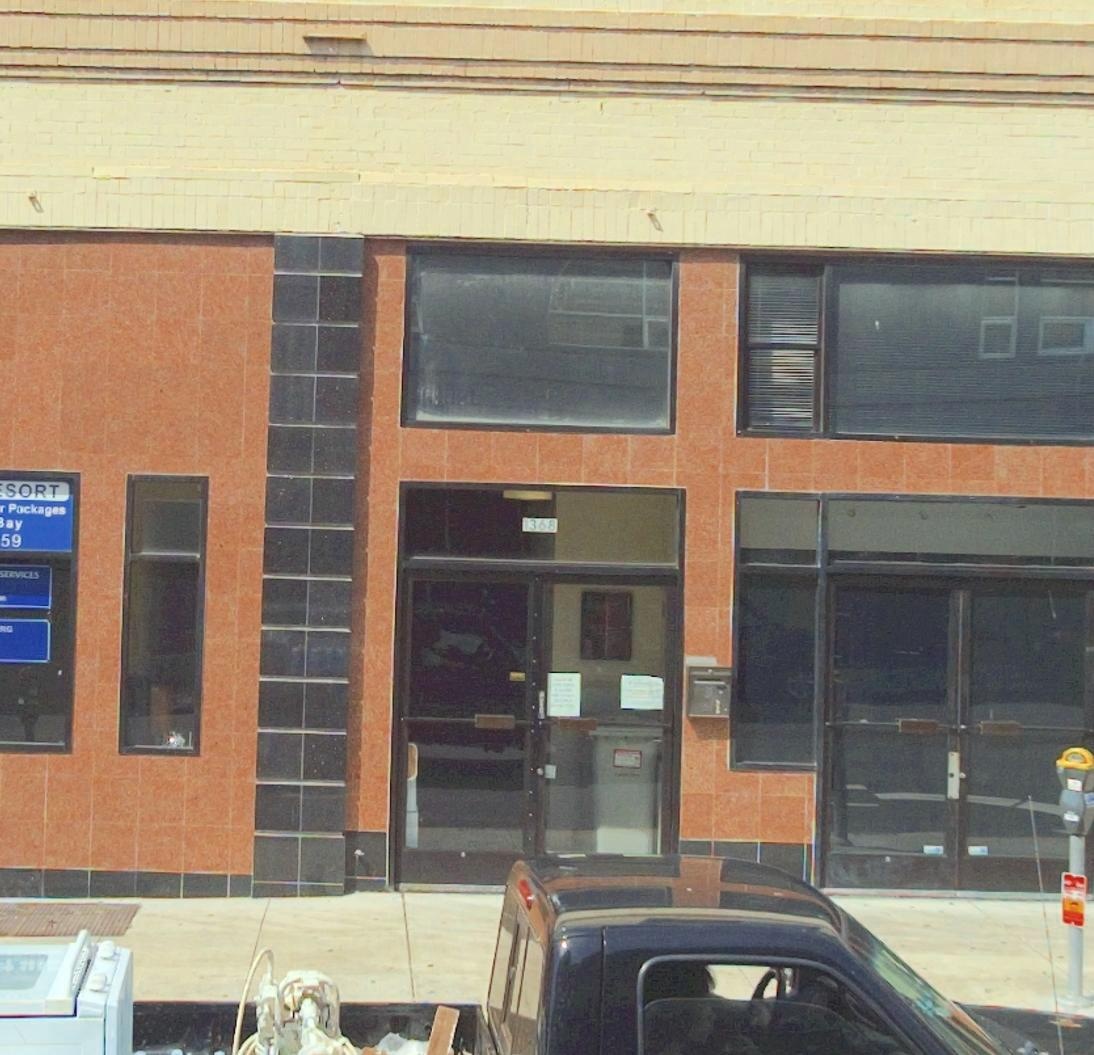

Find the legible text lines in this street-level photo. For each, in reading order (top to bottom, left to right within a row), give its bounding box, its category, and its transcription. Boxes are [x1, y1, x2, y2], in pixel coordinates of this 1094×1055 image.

[4, 482, 61, 499] None: SORT
[7, 502, 68, 518] None: Packages
[6, 519, 25, 533] None: ay
[522, 517, 556, 532] StreetNumber: 1368
[0, 532, 23, 548] None: 59
[0, 570, 41, 579] None: SERVICES